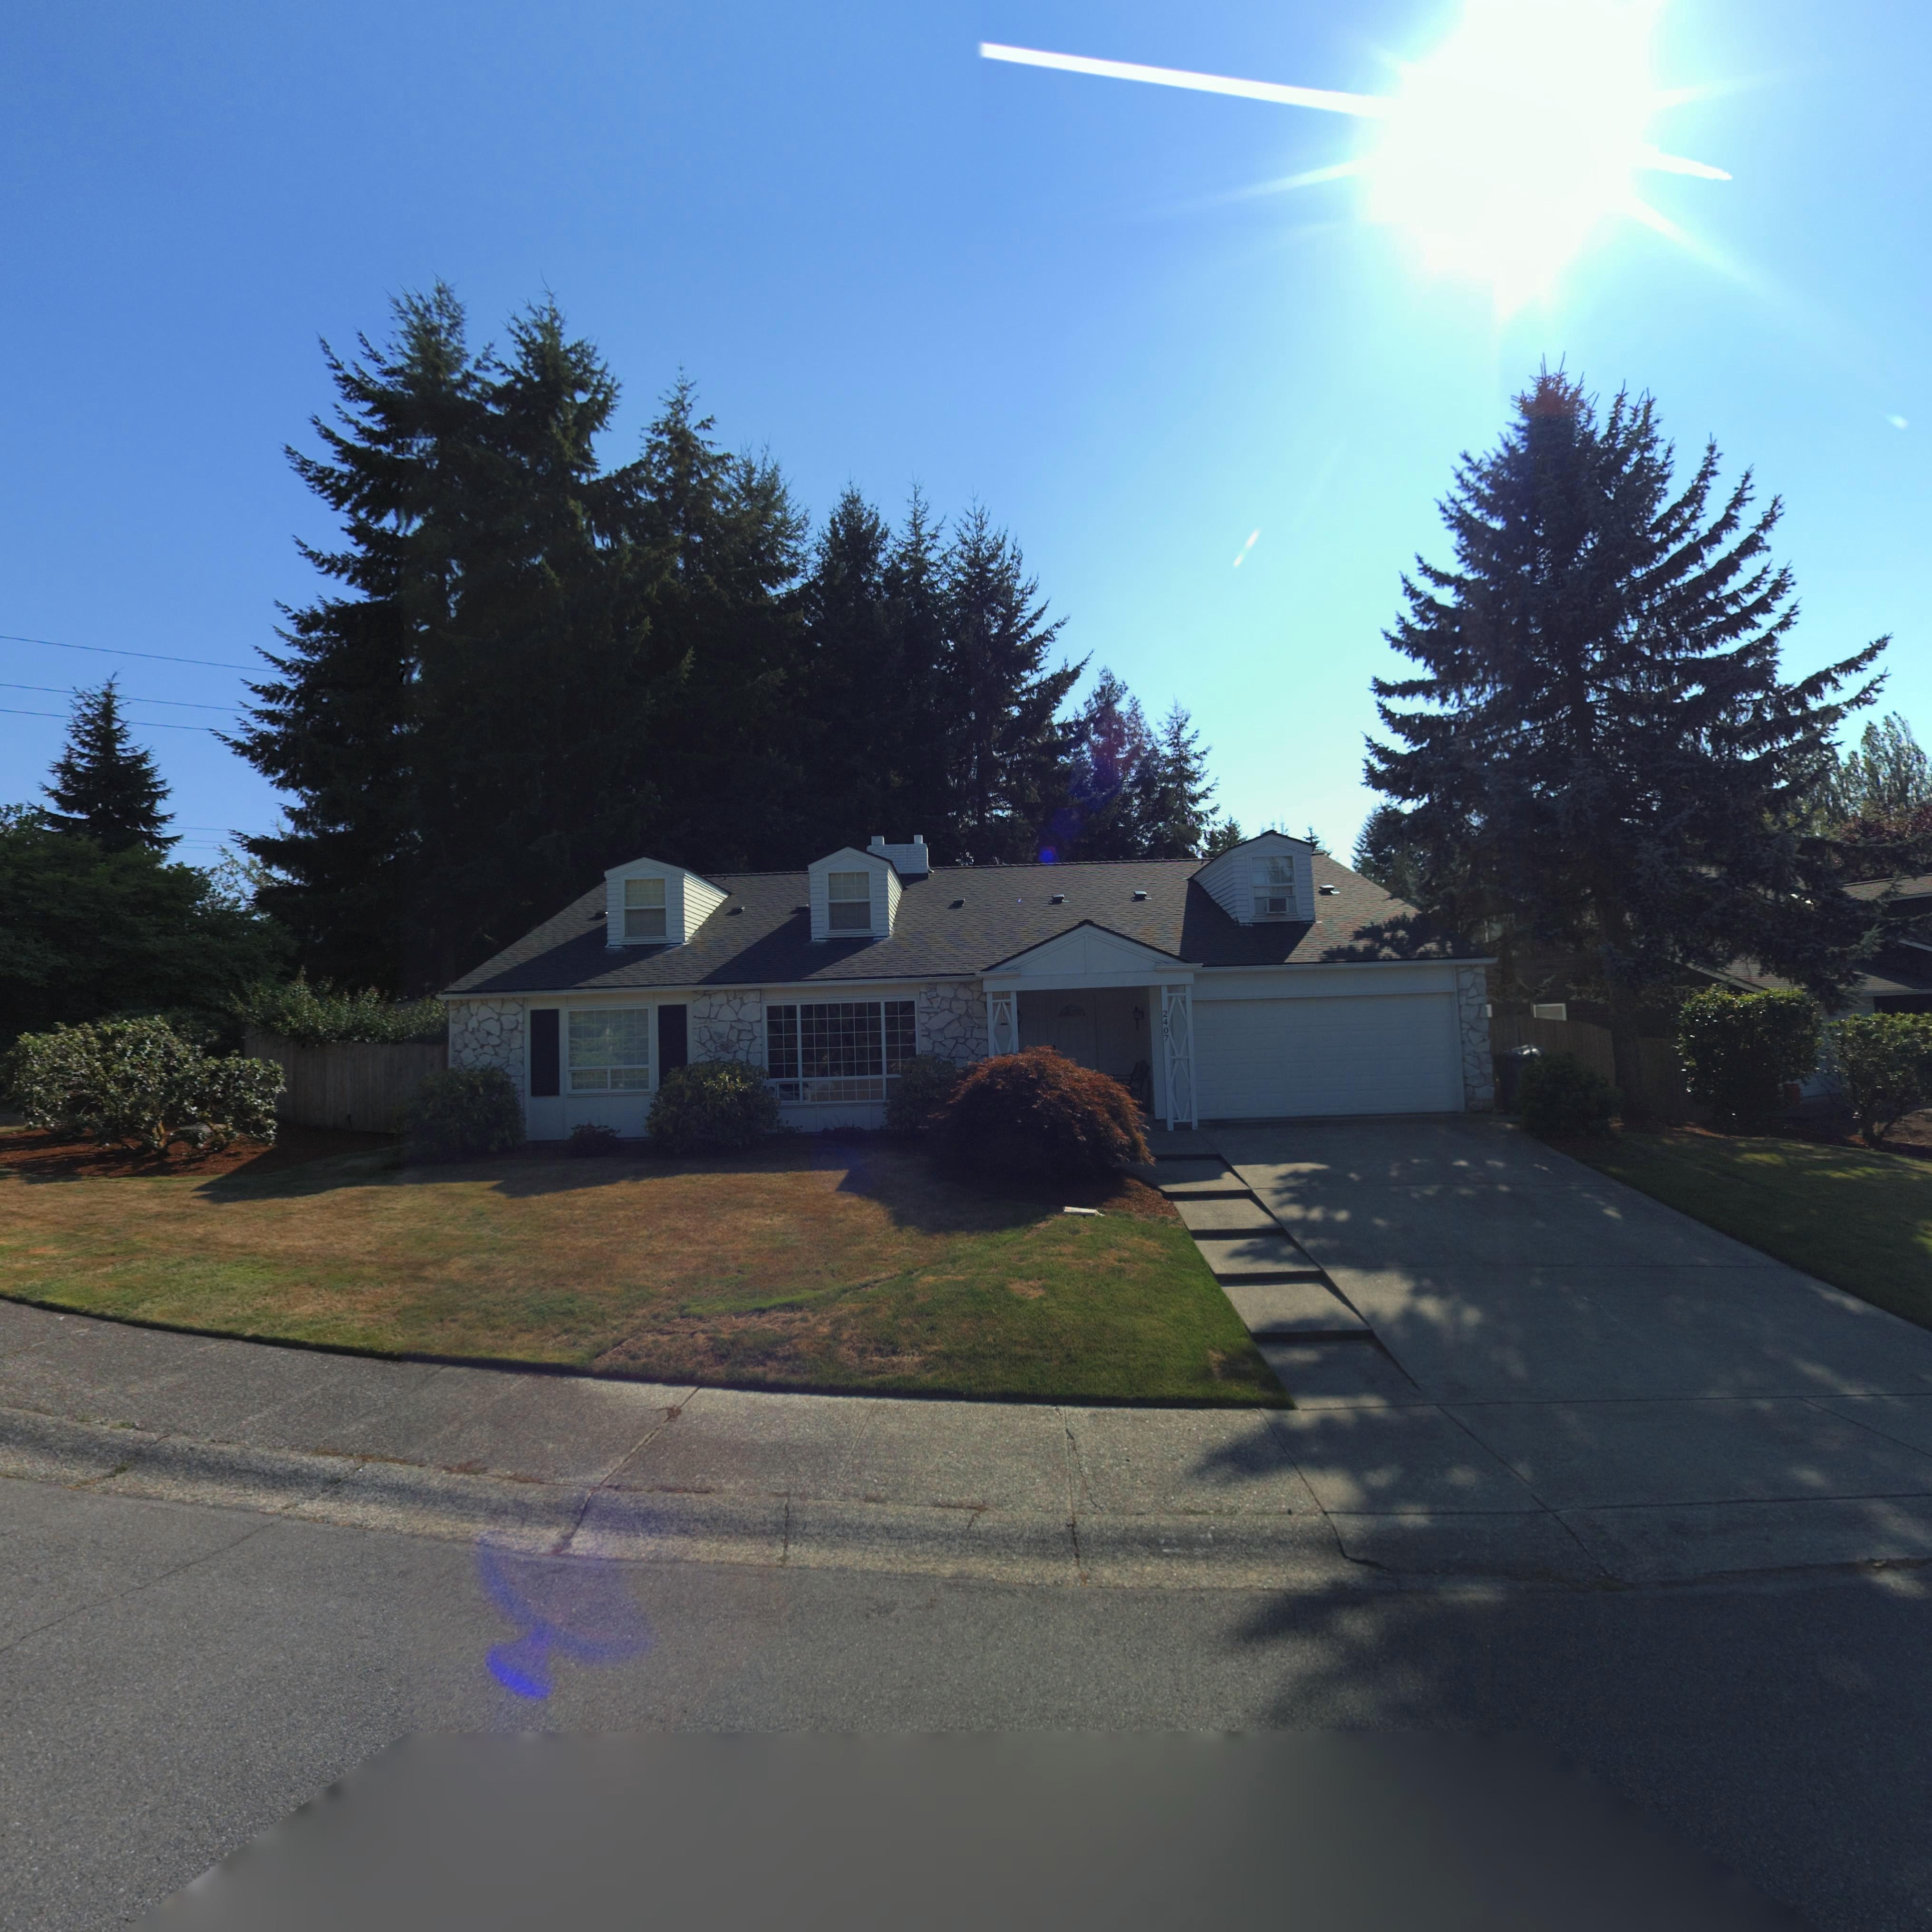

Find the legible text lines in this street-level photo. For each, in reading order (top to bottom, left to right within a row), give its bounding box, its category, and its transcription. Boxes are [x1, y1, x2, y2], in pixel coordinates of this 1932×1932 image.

[1161, 1010, 1169, 1042] StreetNumber: 2407